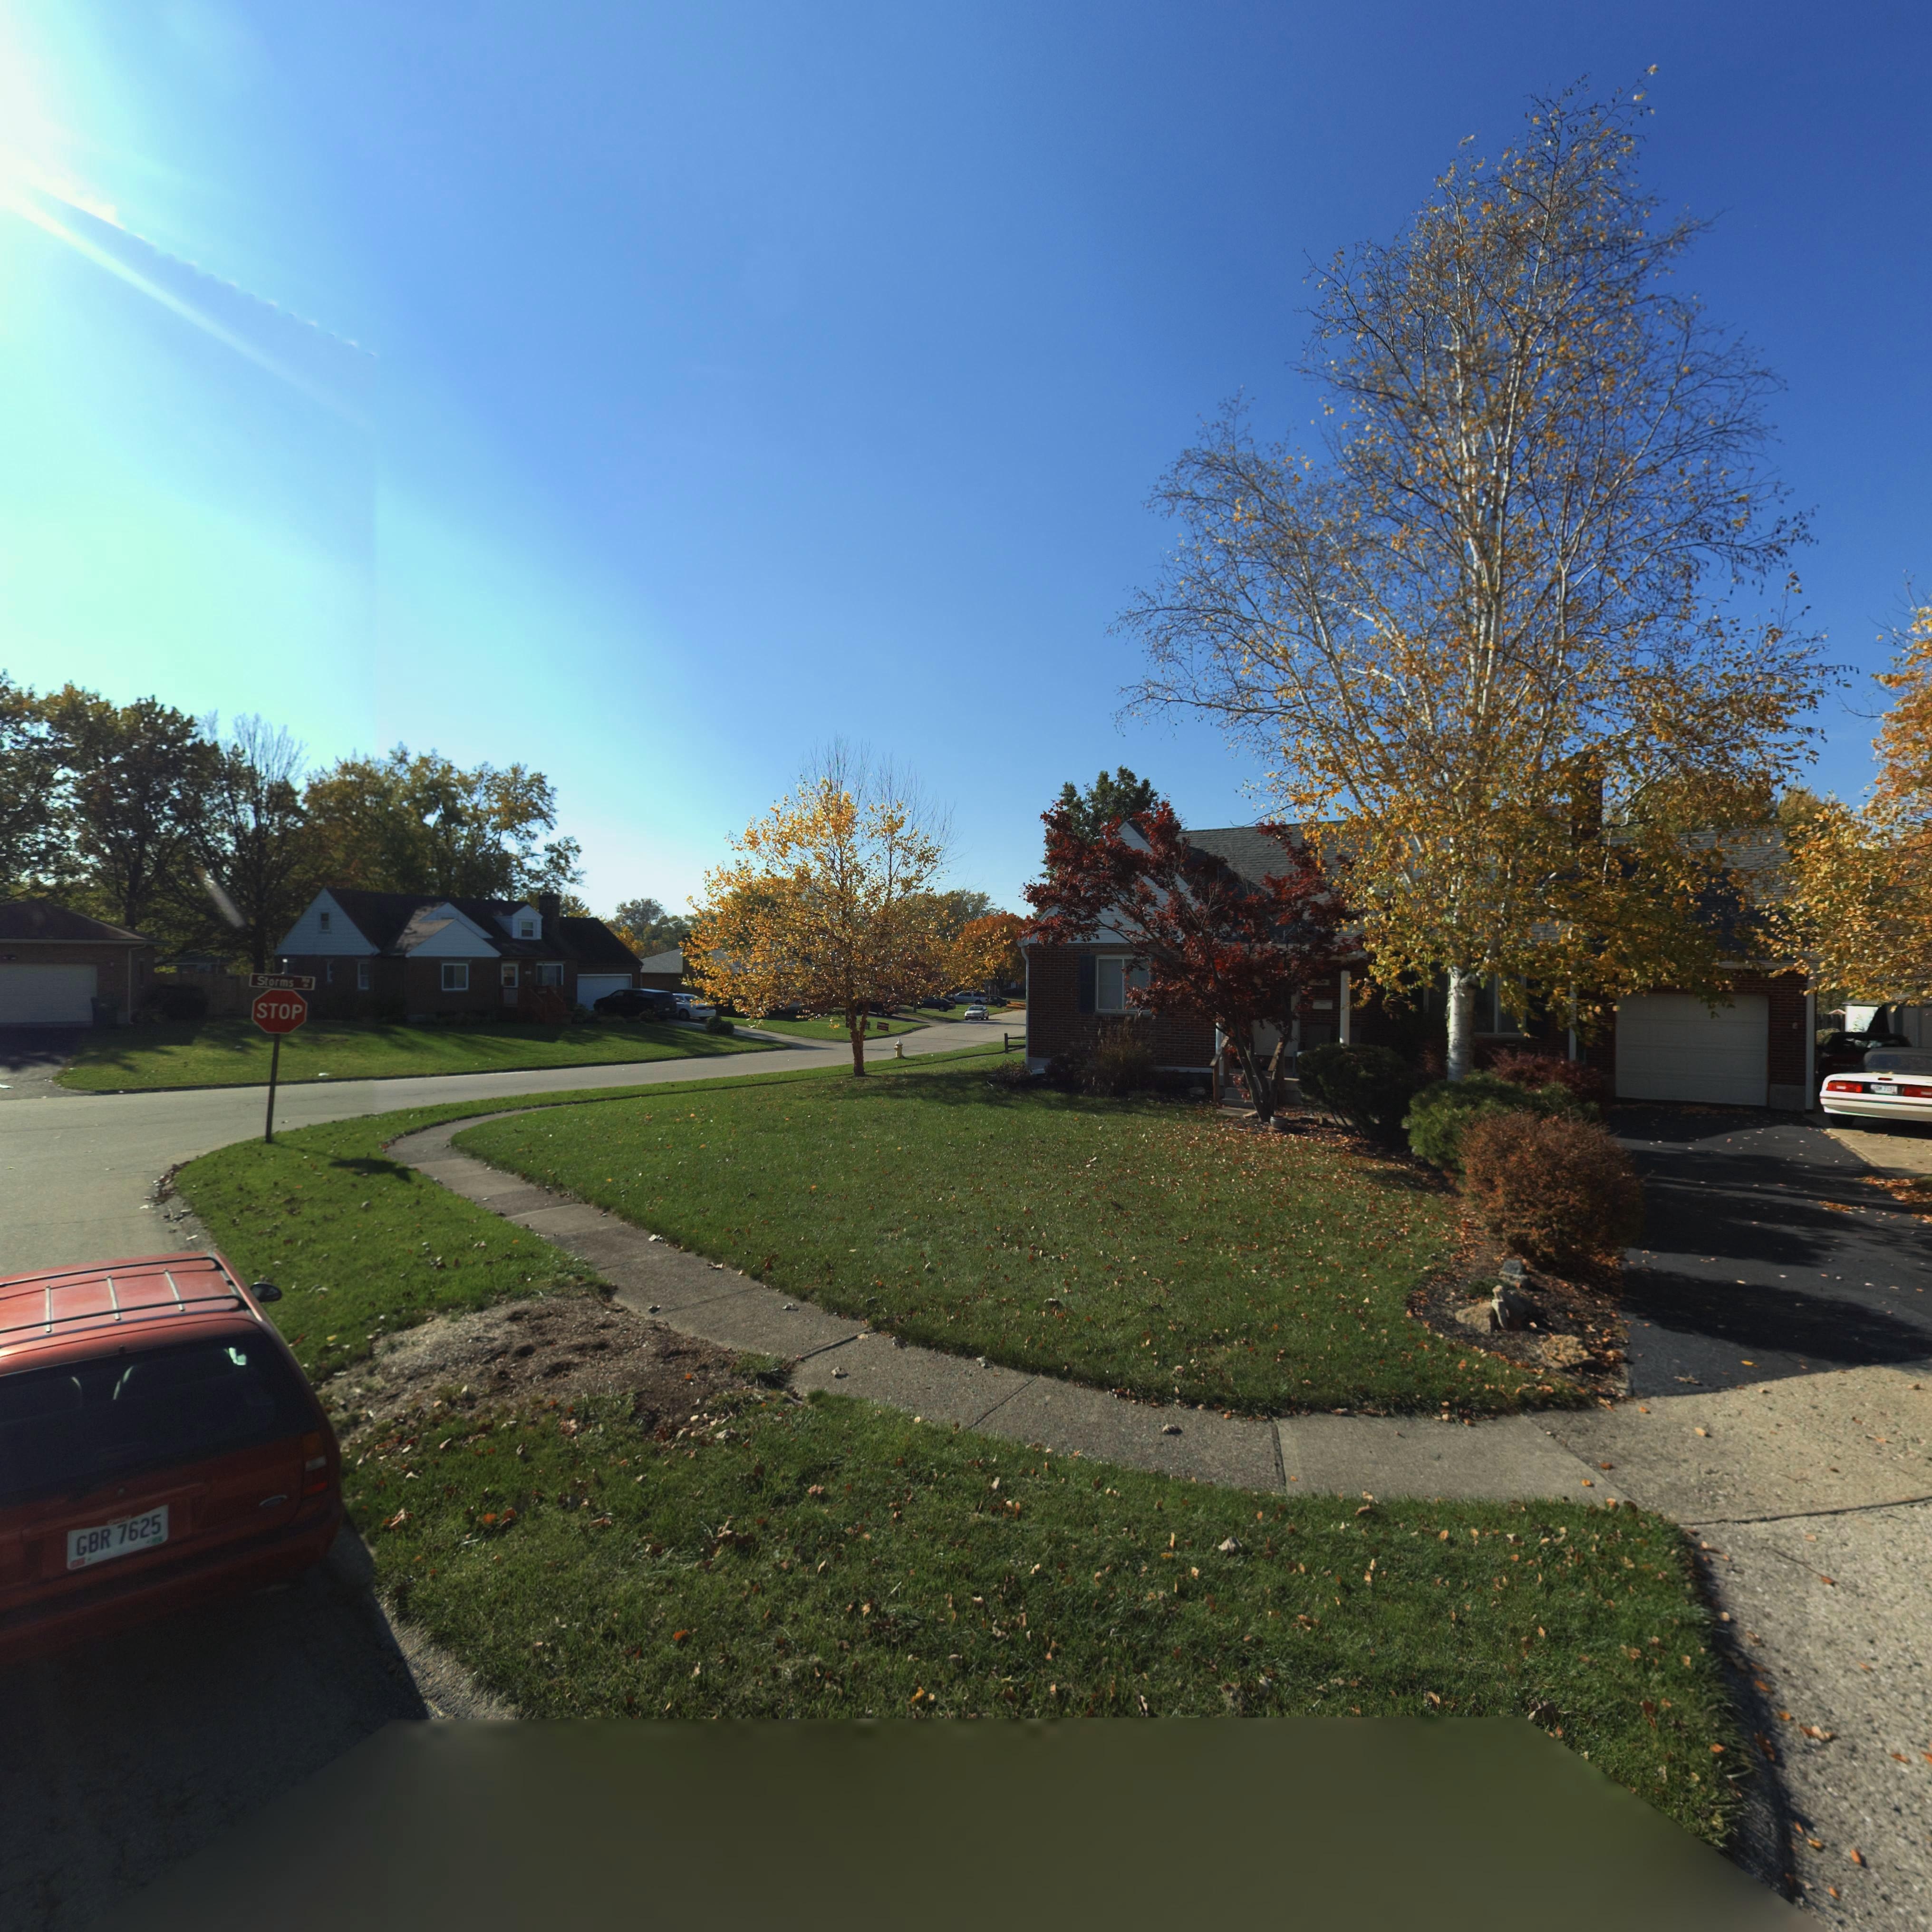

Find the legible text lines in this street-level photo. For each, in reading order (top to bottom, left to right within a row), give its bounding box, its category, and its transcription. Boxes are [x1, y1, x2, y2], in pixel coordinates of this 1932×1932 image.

[256, 976, 294, 988] StreetName: Storms
[256, 1002, 303, 1020] None: STOP
[106, 1513, 131, 1526] None: OHIO
[77, 1513, 161, 1557] None: GBR*7625